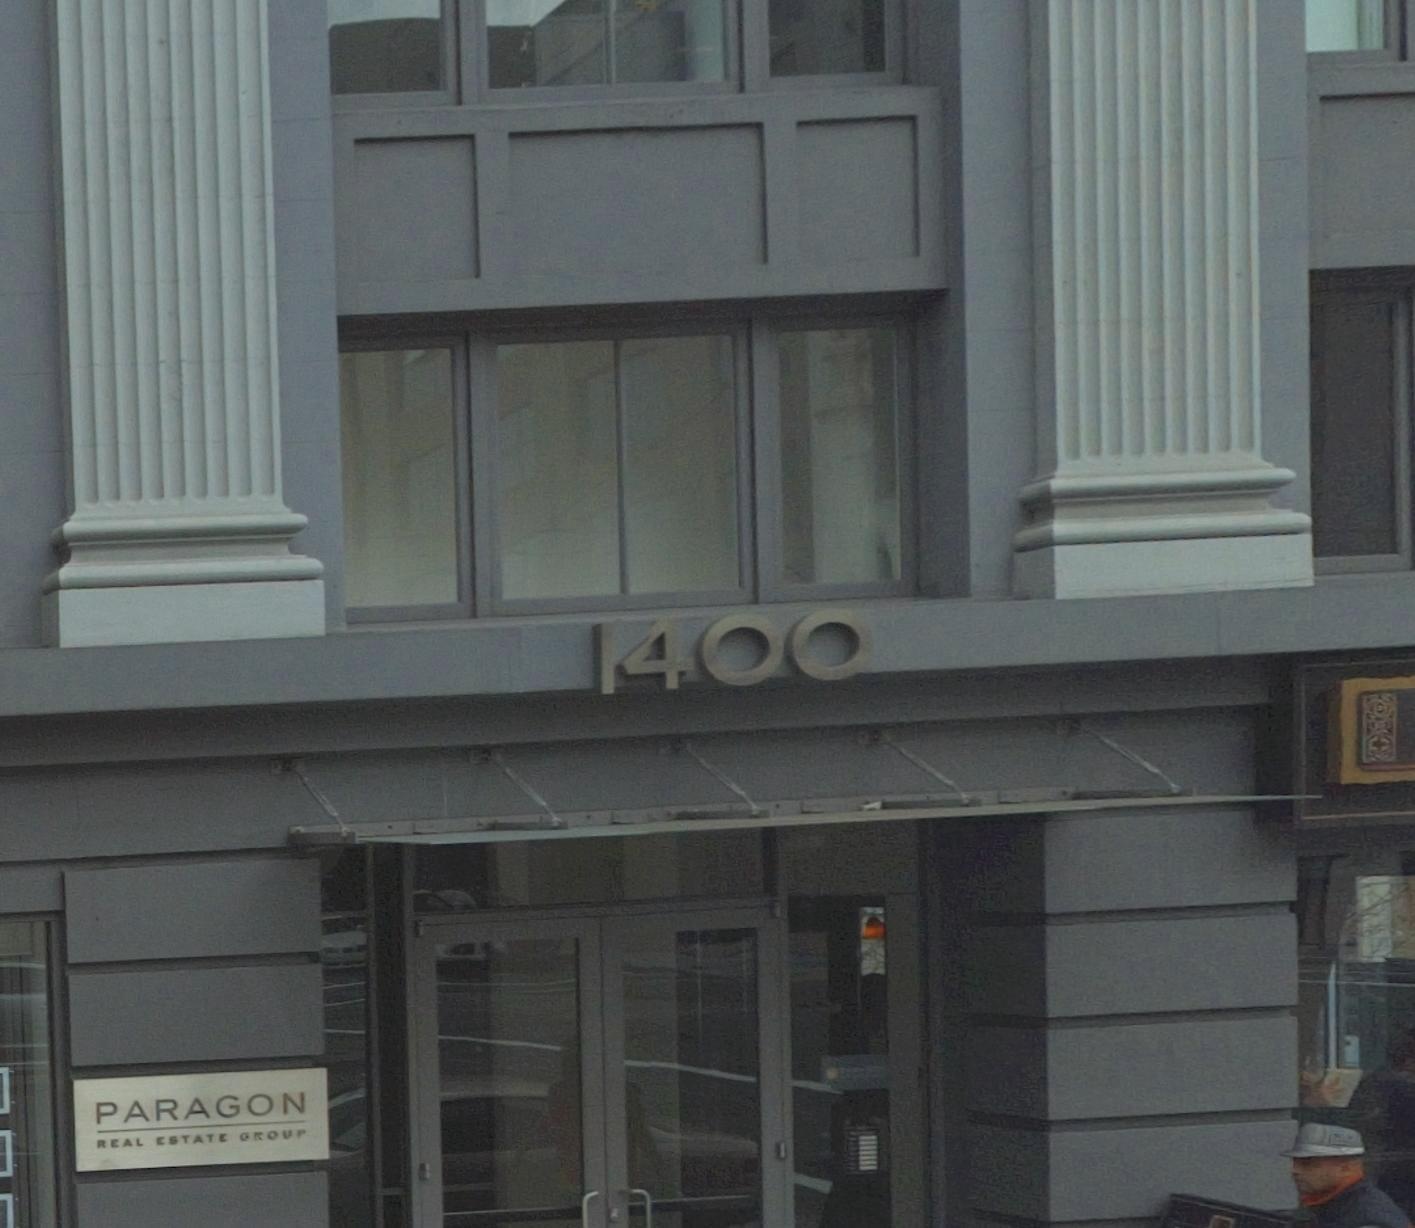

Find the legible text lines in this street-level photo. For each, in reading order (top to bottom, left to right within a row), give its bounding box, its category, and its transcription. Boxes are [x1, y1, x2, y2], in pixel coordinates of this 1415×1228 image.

[591, 602, 880, 704] StreetNumber: 1400
[91, 1085, 314, 1132] BusinessName: PARAGON
[93, 1126, 311, 1153] None: REAL ESTATE GROUP